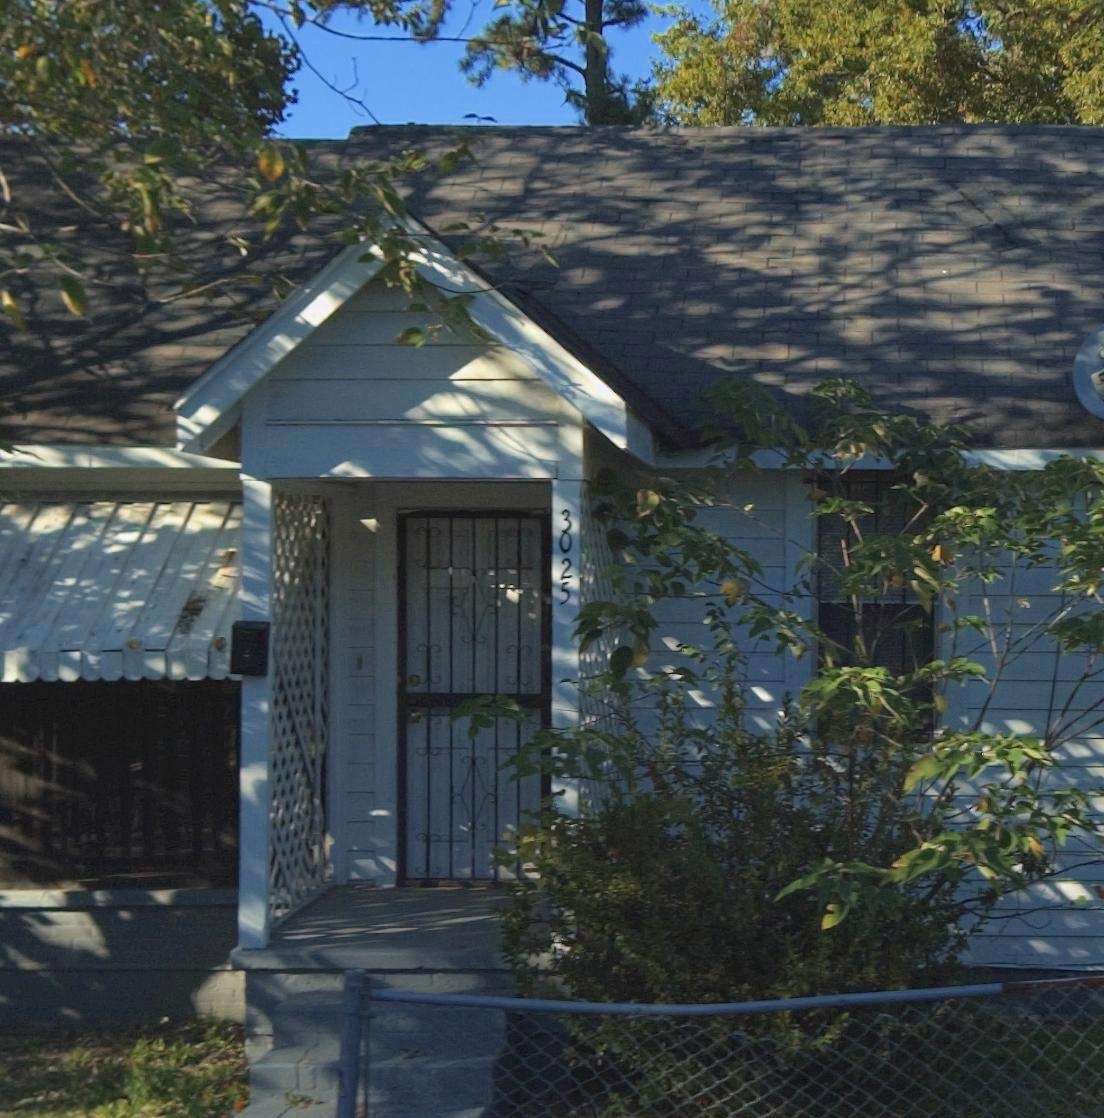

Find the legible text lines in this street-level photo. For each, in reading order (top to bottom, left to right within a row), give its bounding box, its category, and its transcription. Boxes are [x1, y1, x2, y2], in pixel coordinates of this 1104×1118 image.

[557, 507, 575, 608] StreetNumber: 3025